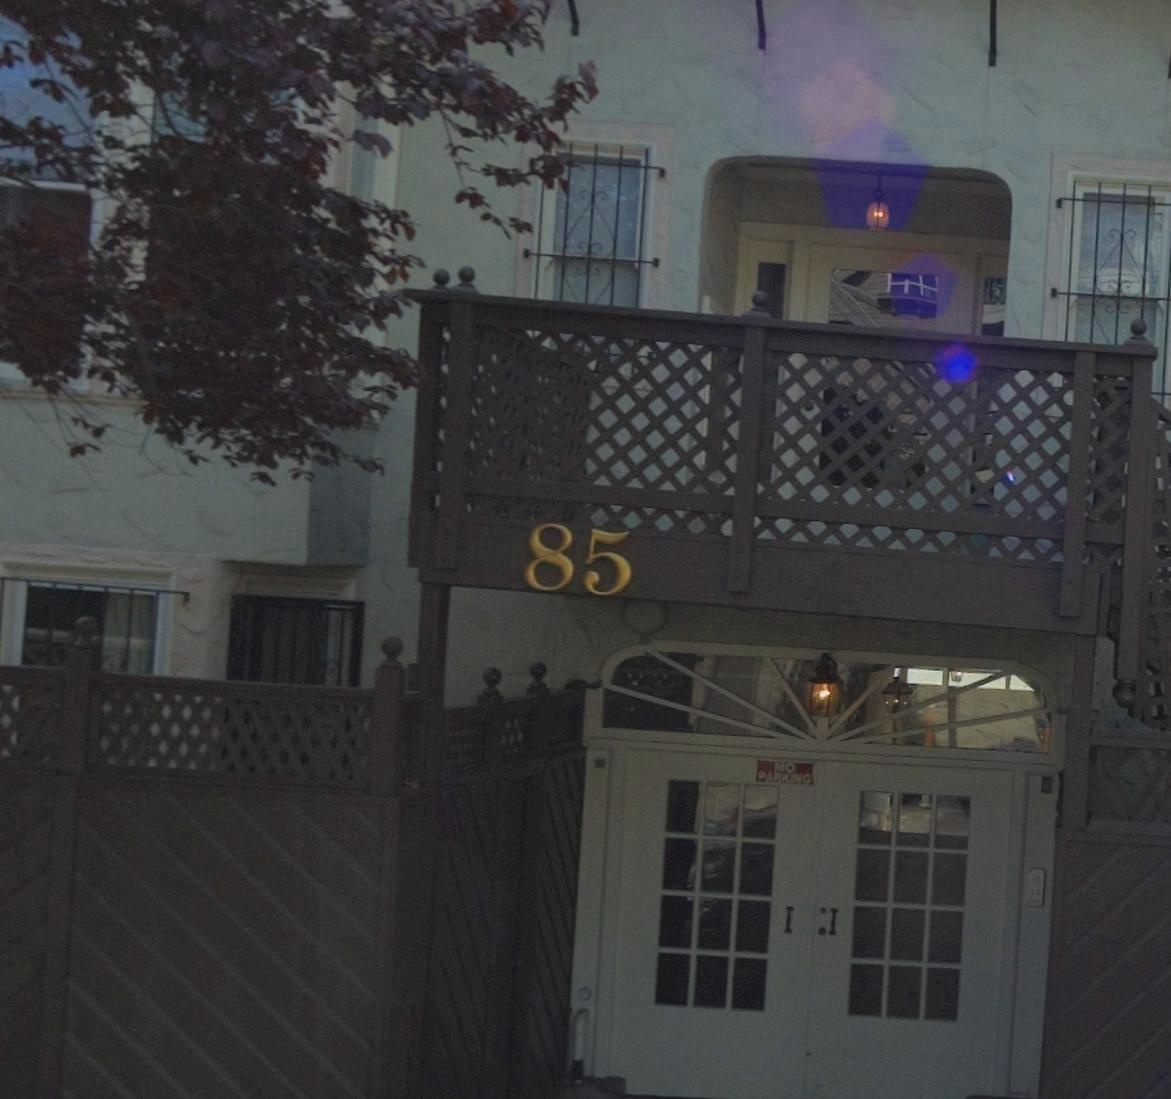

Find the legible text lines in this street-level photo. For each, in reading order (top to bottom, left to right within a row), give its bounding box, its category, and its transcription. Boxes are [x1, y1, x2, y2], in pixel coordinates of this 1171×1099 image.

[523, 518, 635, 600] StreetNumber: 85
[772, 760, 798, 775] None: NO
[756, 771, 813, 785] None: PARKING